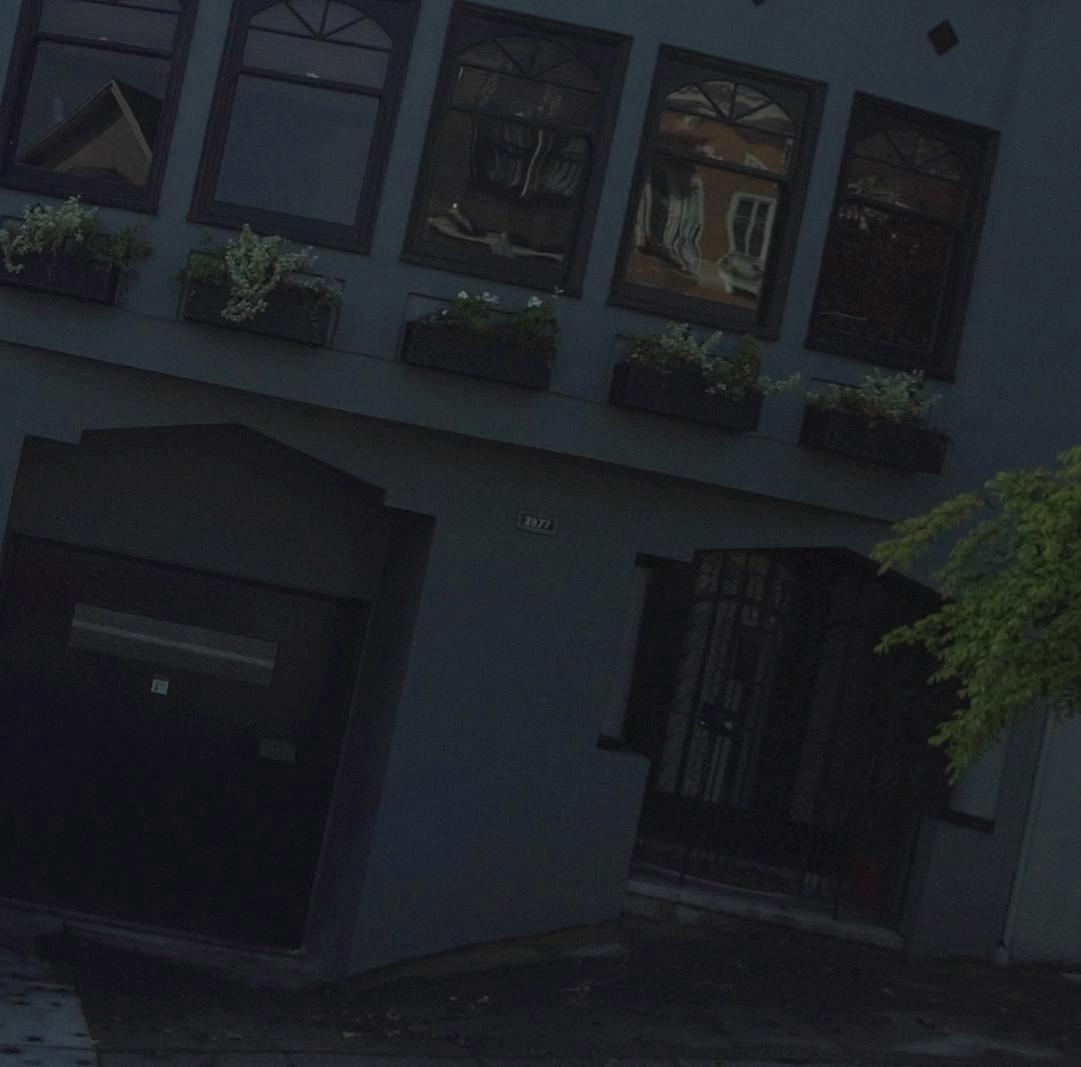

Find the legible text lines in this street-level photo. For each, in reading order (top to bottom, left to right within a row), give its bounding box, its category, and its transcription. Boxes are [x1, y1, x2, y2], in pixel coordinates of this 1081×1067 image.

[522, 514, 554, 530] StreetNumber: 3972